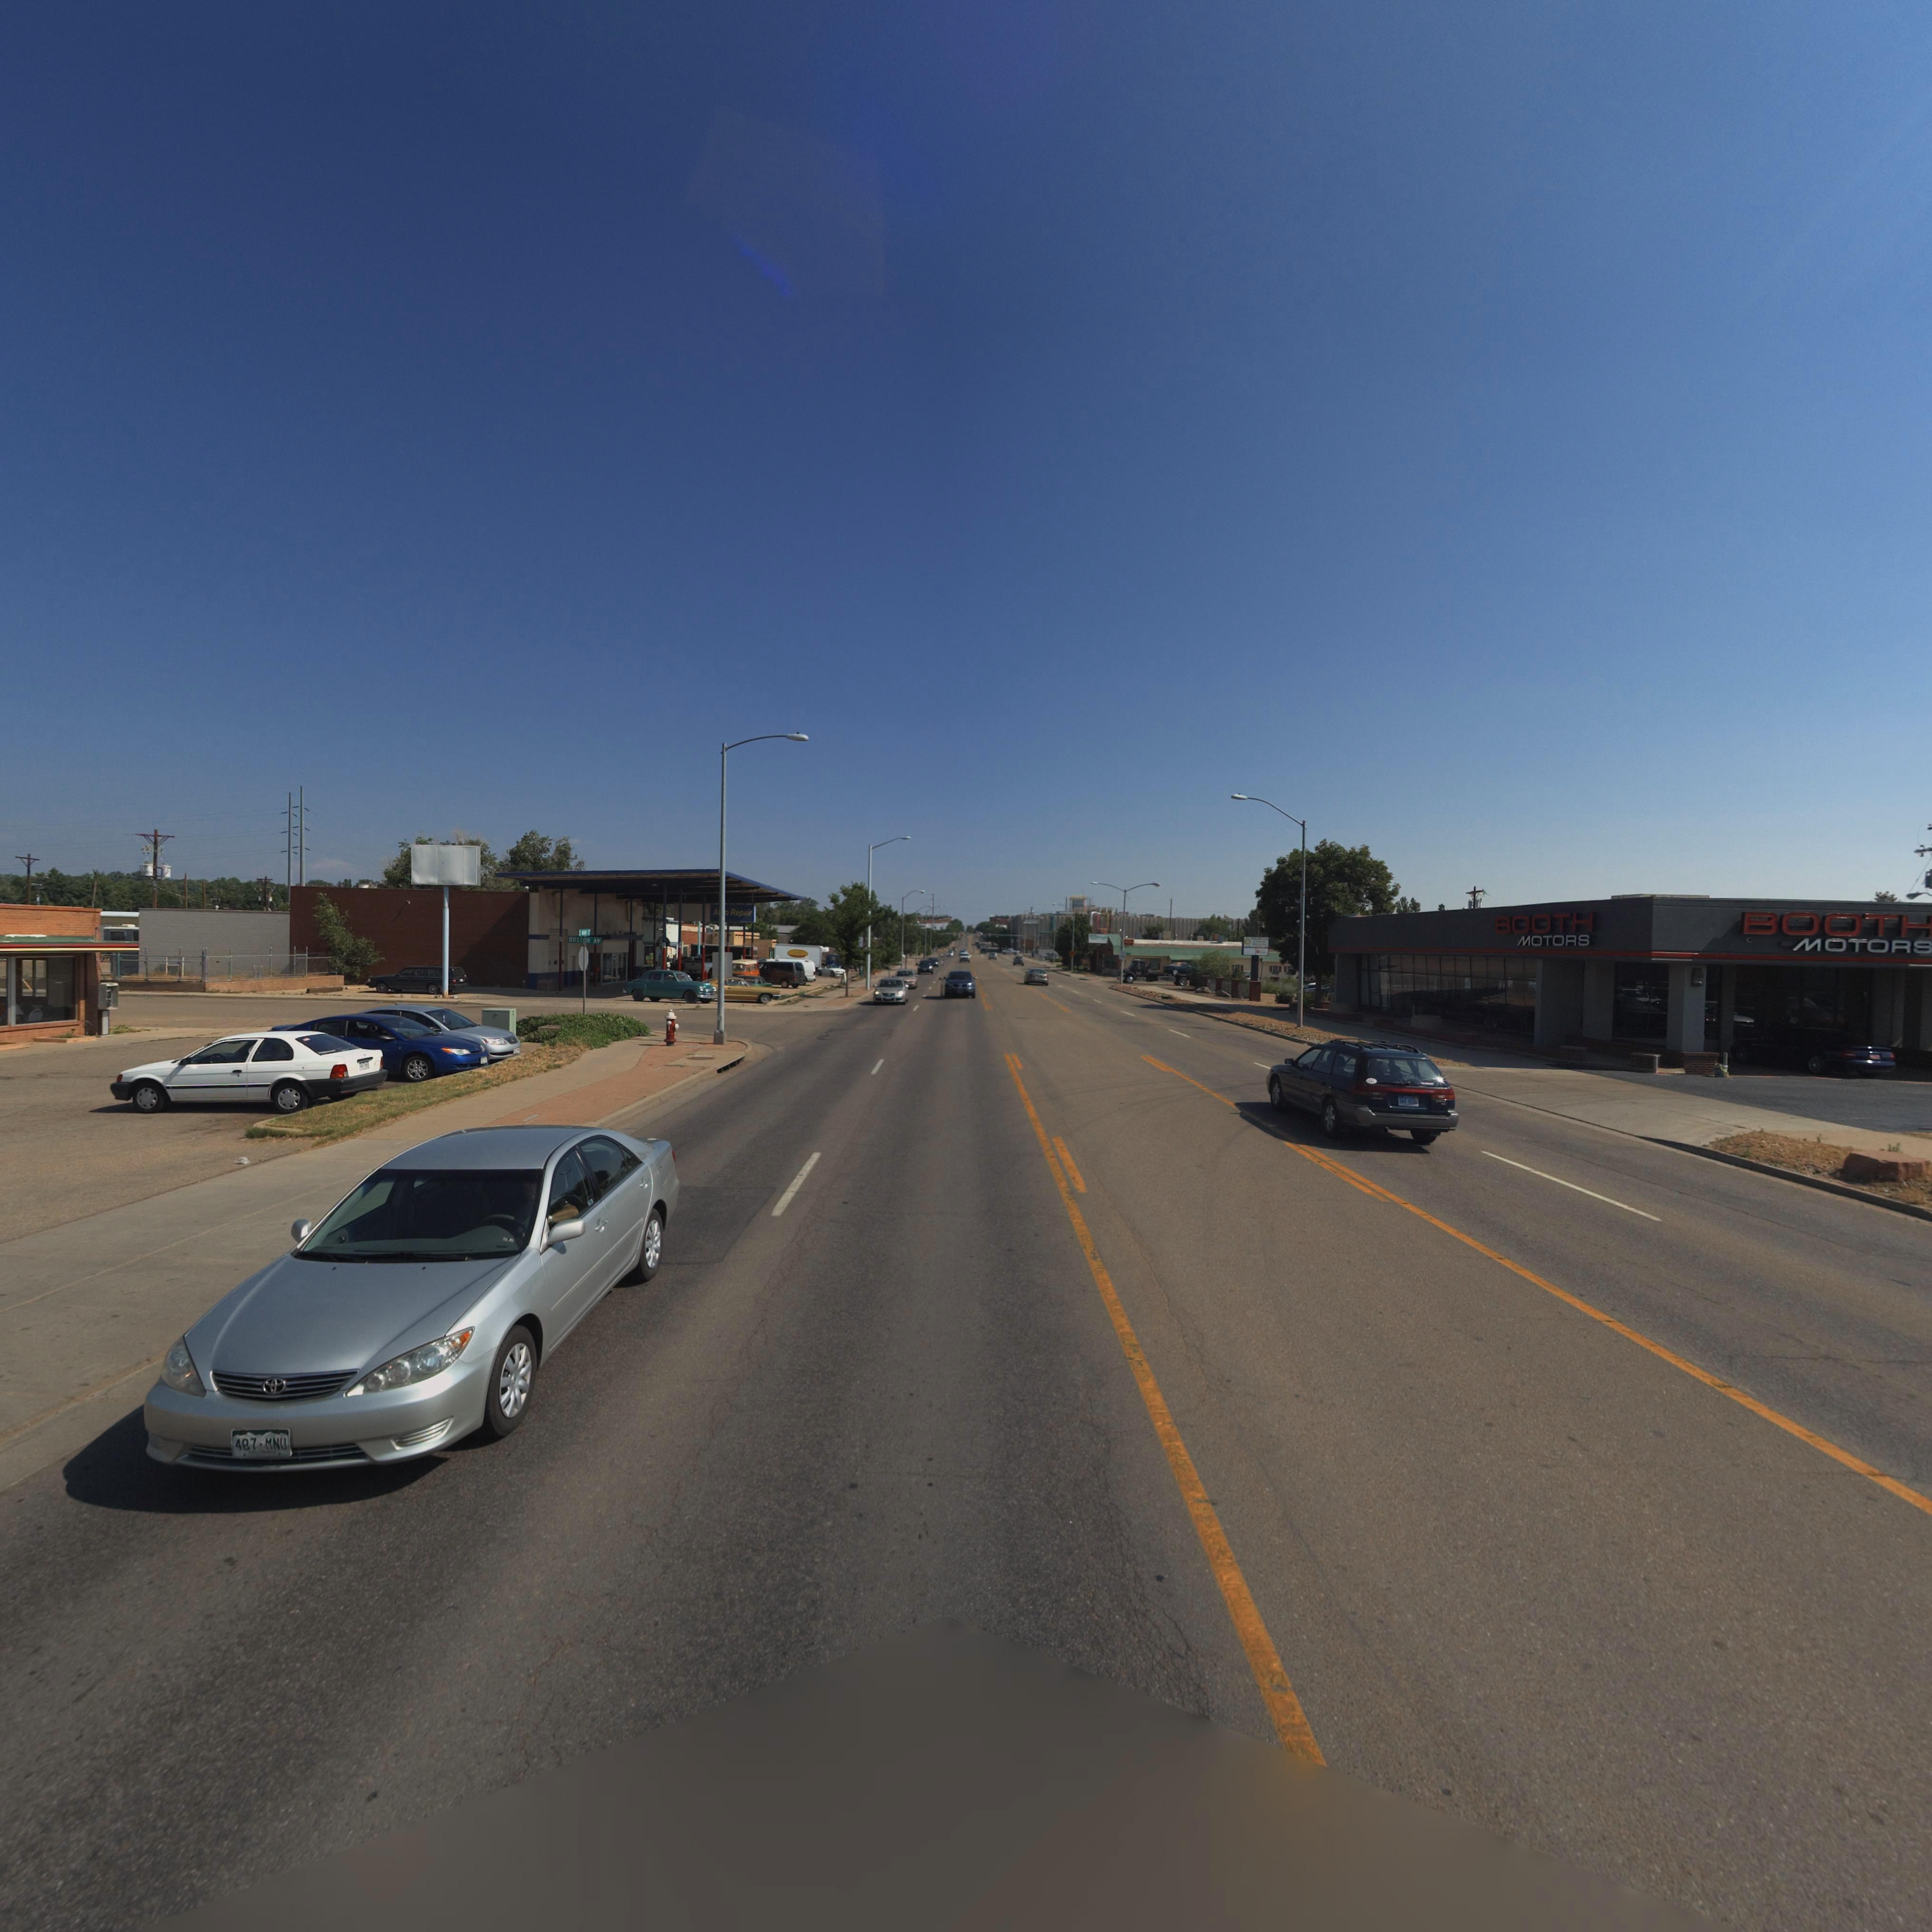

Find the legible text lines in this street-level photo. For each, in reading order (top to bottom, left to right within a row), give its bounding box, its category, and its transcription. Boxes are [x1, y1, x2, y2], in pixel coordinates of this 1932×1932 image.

[1494, 911, 1594, 934] BusinessName: BOOTH
[1742, 911, 1900, 937] BusinessName: BOOT
[569, 937, 600, 943] StreetName: BOSTON AV
[579, 929, 591, 936] StreetName: S **** **
[1516, 934, 1590, 947] BusinessName: MOTORS
[1791, 937, 1911, 954] BusinessName: MOTOR